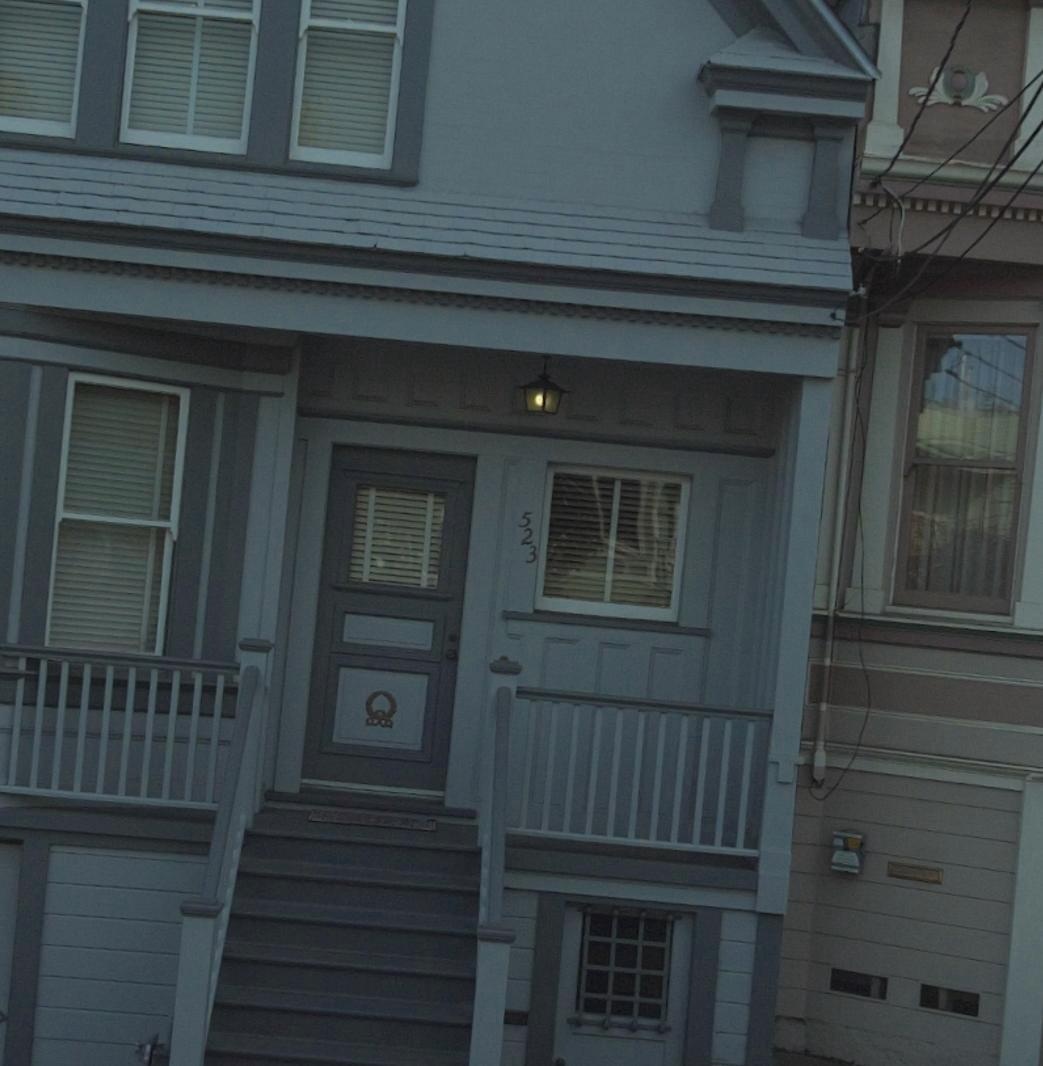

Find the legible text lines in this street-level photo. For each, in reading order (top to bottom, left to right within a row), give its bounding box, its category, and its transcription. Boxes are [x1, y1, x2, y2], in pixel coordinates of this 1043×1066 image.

[514, 511, 539, 566] StreetNumber: 523